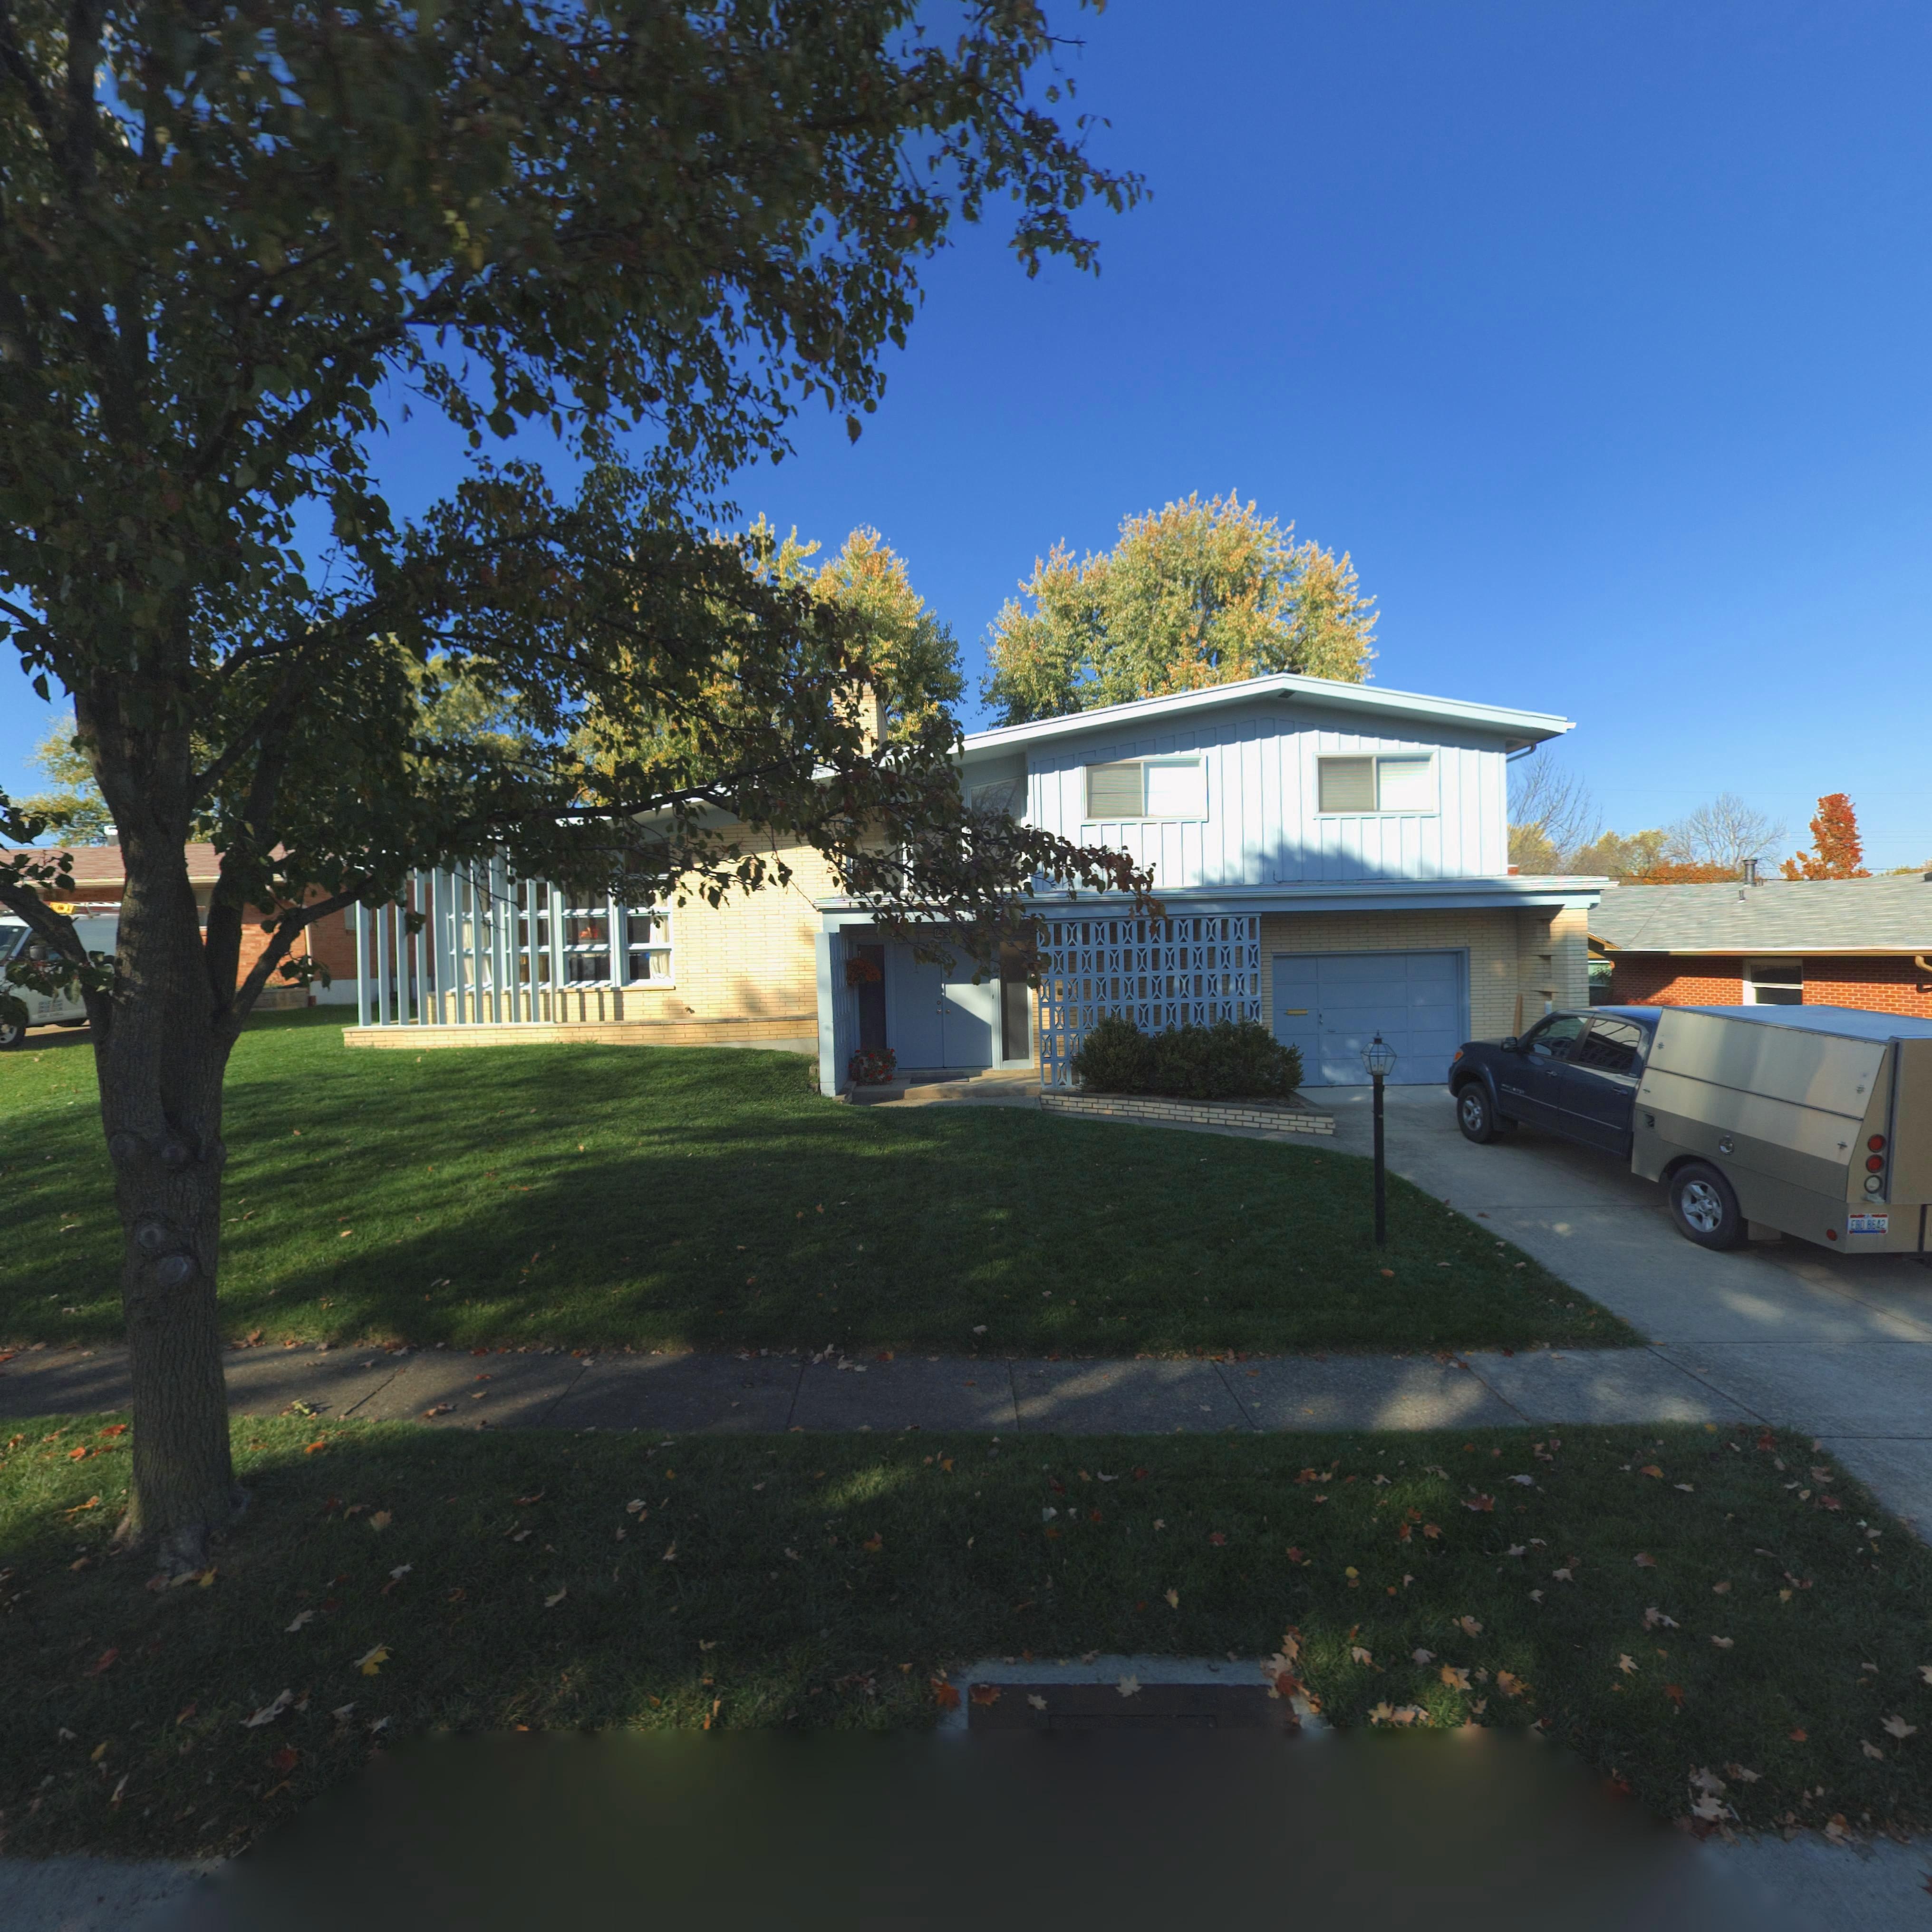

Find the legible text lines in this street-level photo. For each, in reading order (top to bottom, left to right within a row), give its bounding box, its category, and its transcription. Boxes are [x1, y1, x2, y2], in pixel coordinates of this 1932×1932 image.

[935, 930, 939, 936] StreetNumber: 6